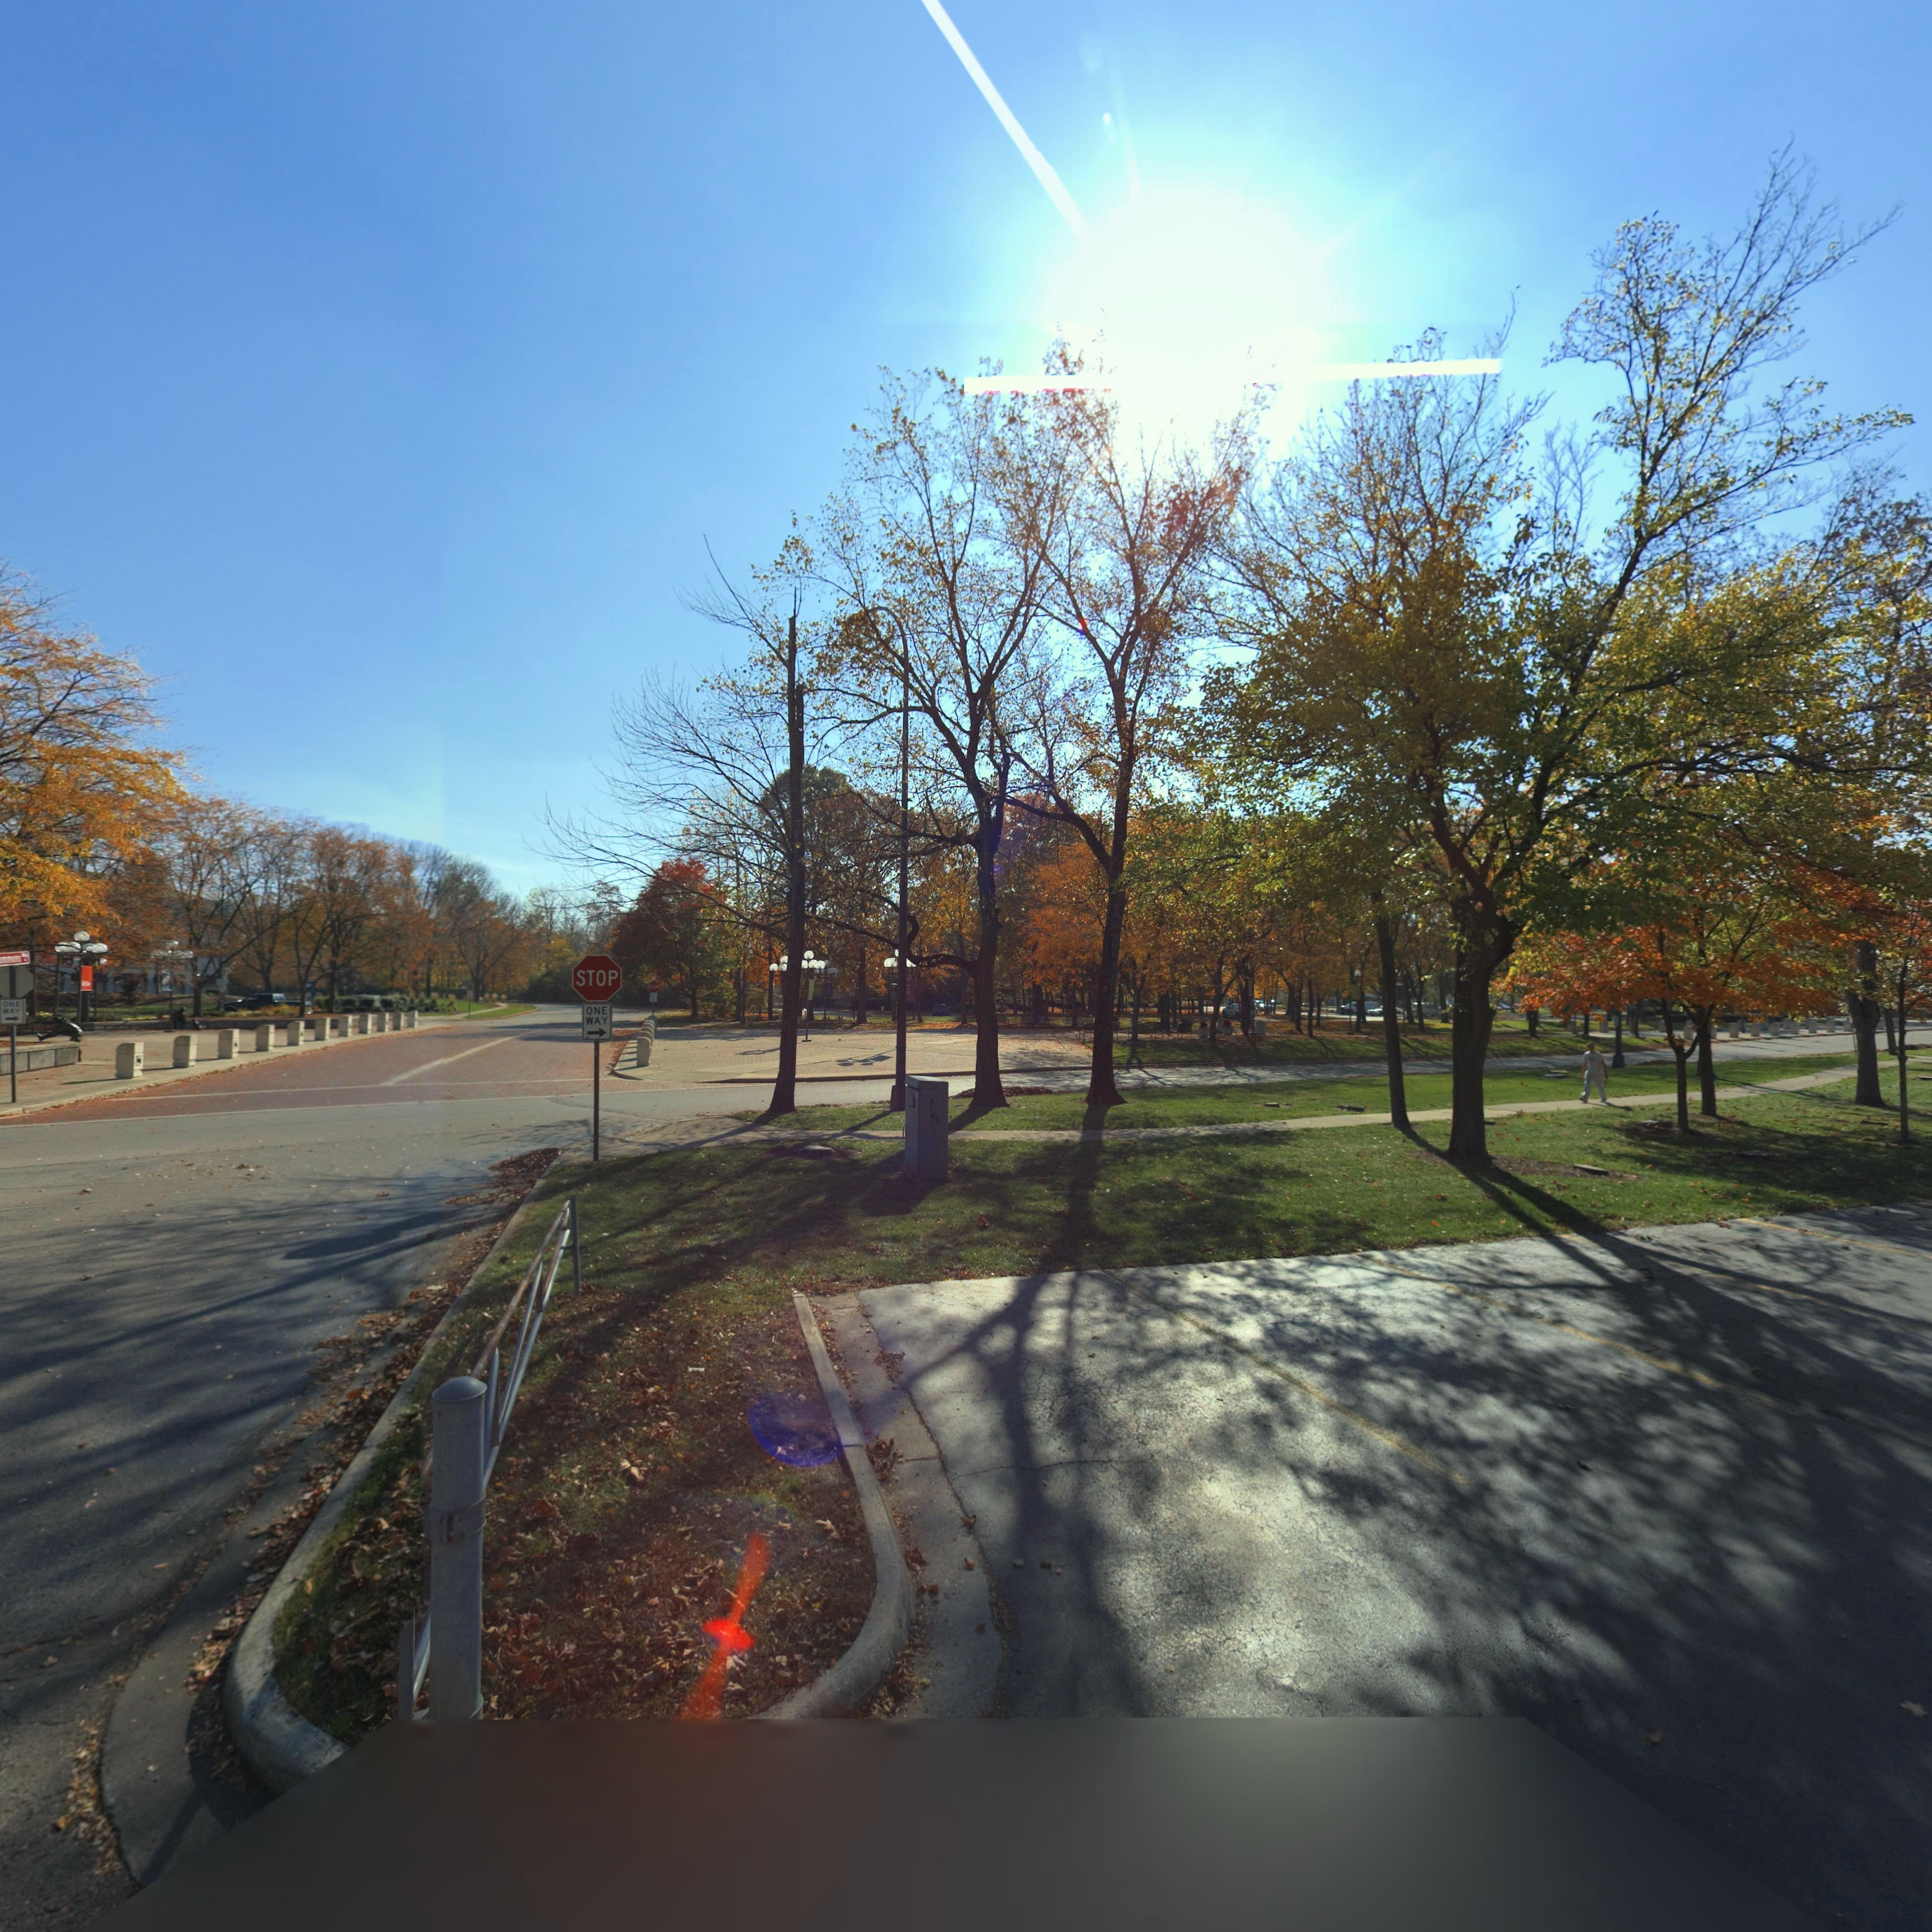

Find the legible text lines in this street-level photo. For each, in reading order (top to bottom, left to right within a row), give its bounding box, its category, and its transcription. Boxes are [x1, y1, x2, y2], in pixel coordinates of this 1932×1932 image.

[575, 969, 618, 987] None: STOP
[648, 985, 659, 989] None: STOP
[1, 1001, 21, 1007] None: ONE
[1, 1008, 20, 1014] None: WAY
[585, 1005, 608, 1015] None: ONE
[586, 1016, 609, 1025] None: WAY